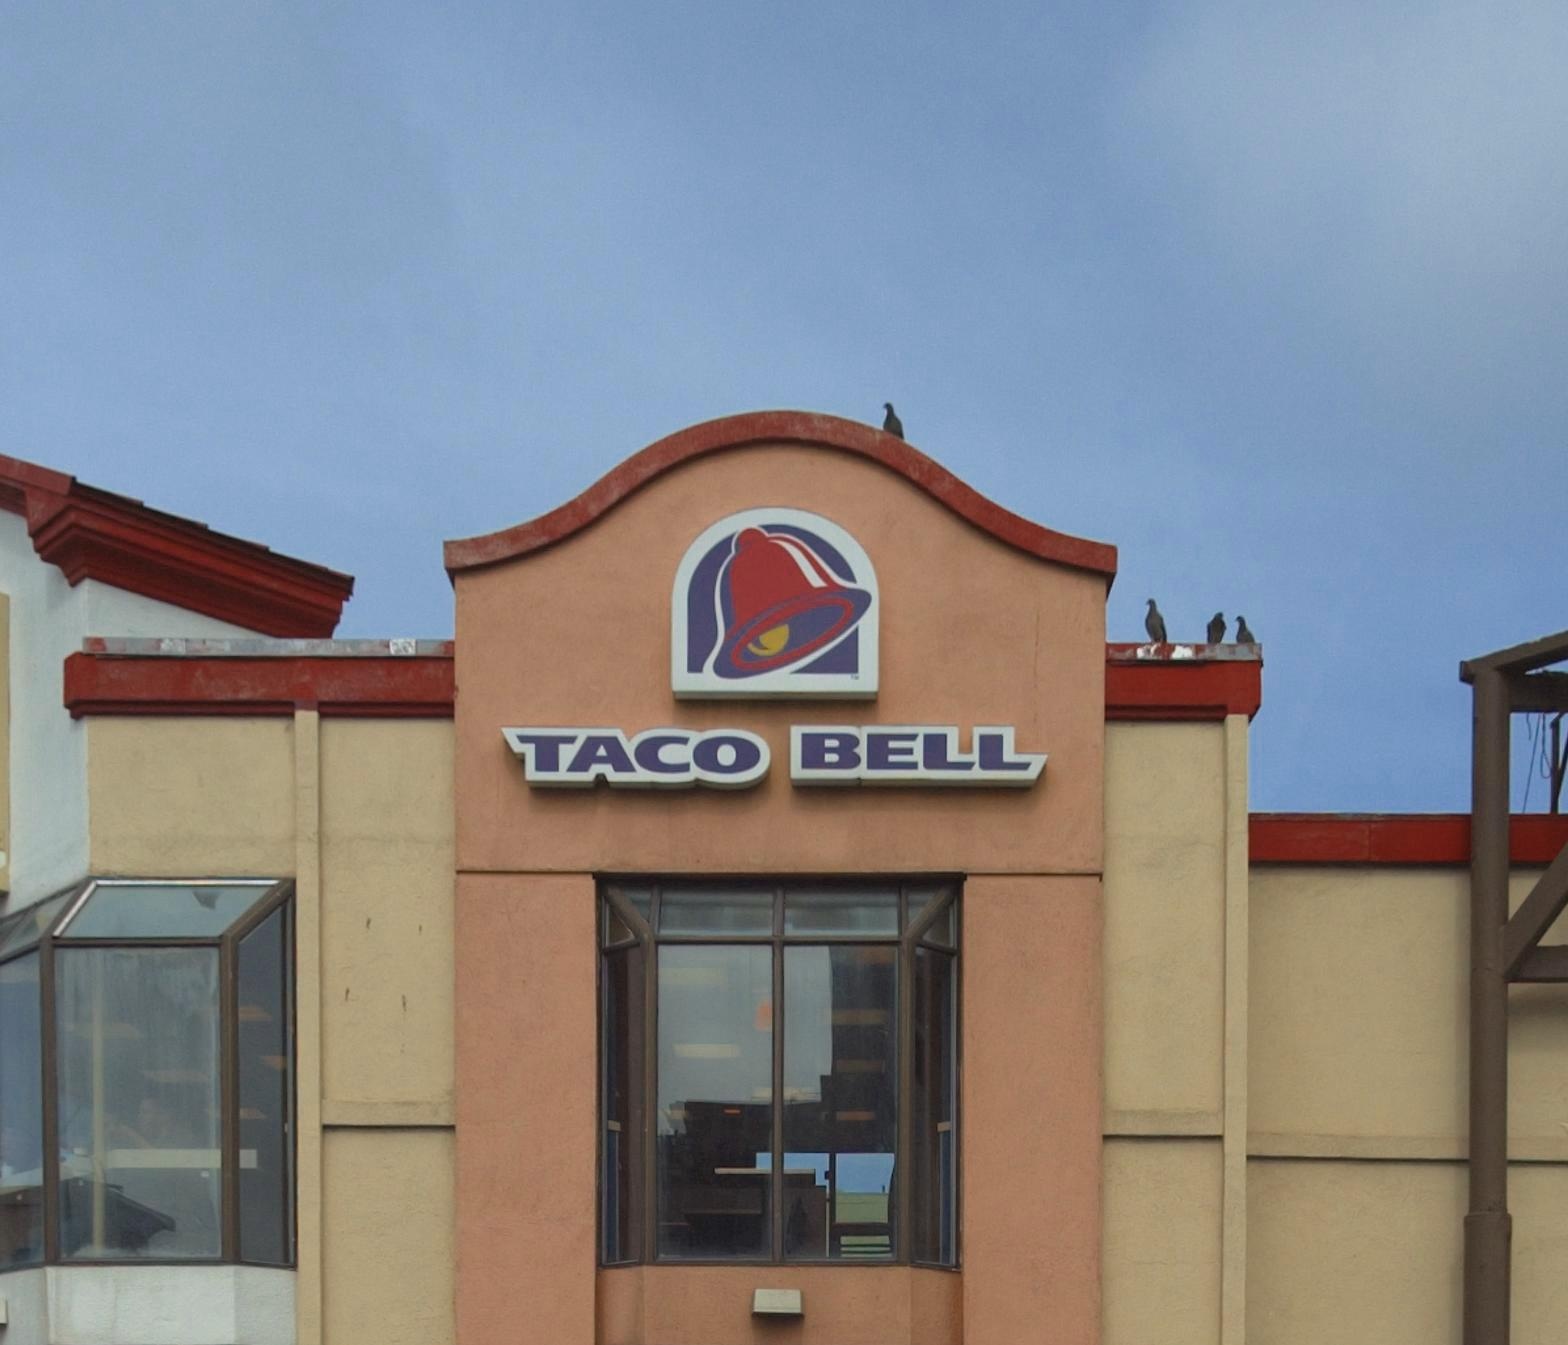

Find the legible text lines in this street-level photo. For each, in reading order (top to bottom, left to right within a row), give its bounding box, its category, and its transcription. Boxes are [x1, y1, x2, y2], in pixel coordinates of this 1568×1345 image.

[514, 731, 1039, 775] BusinessName: TACO BELL